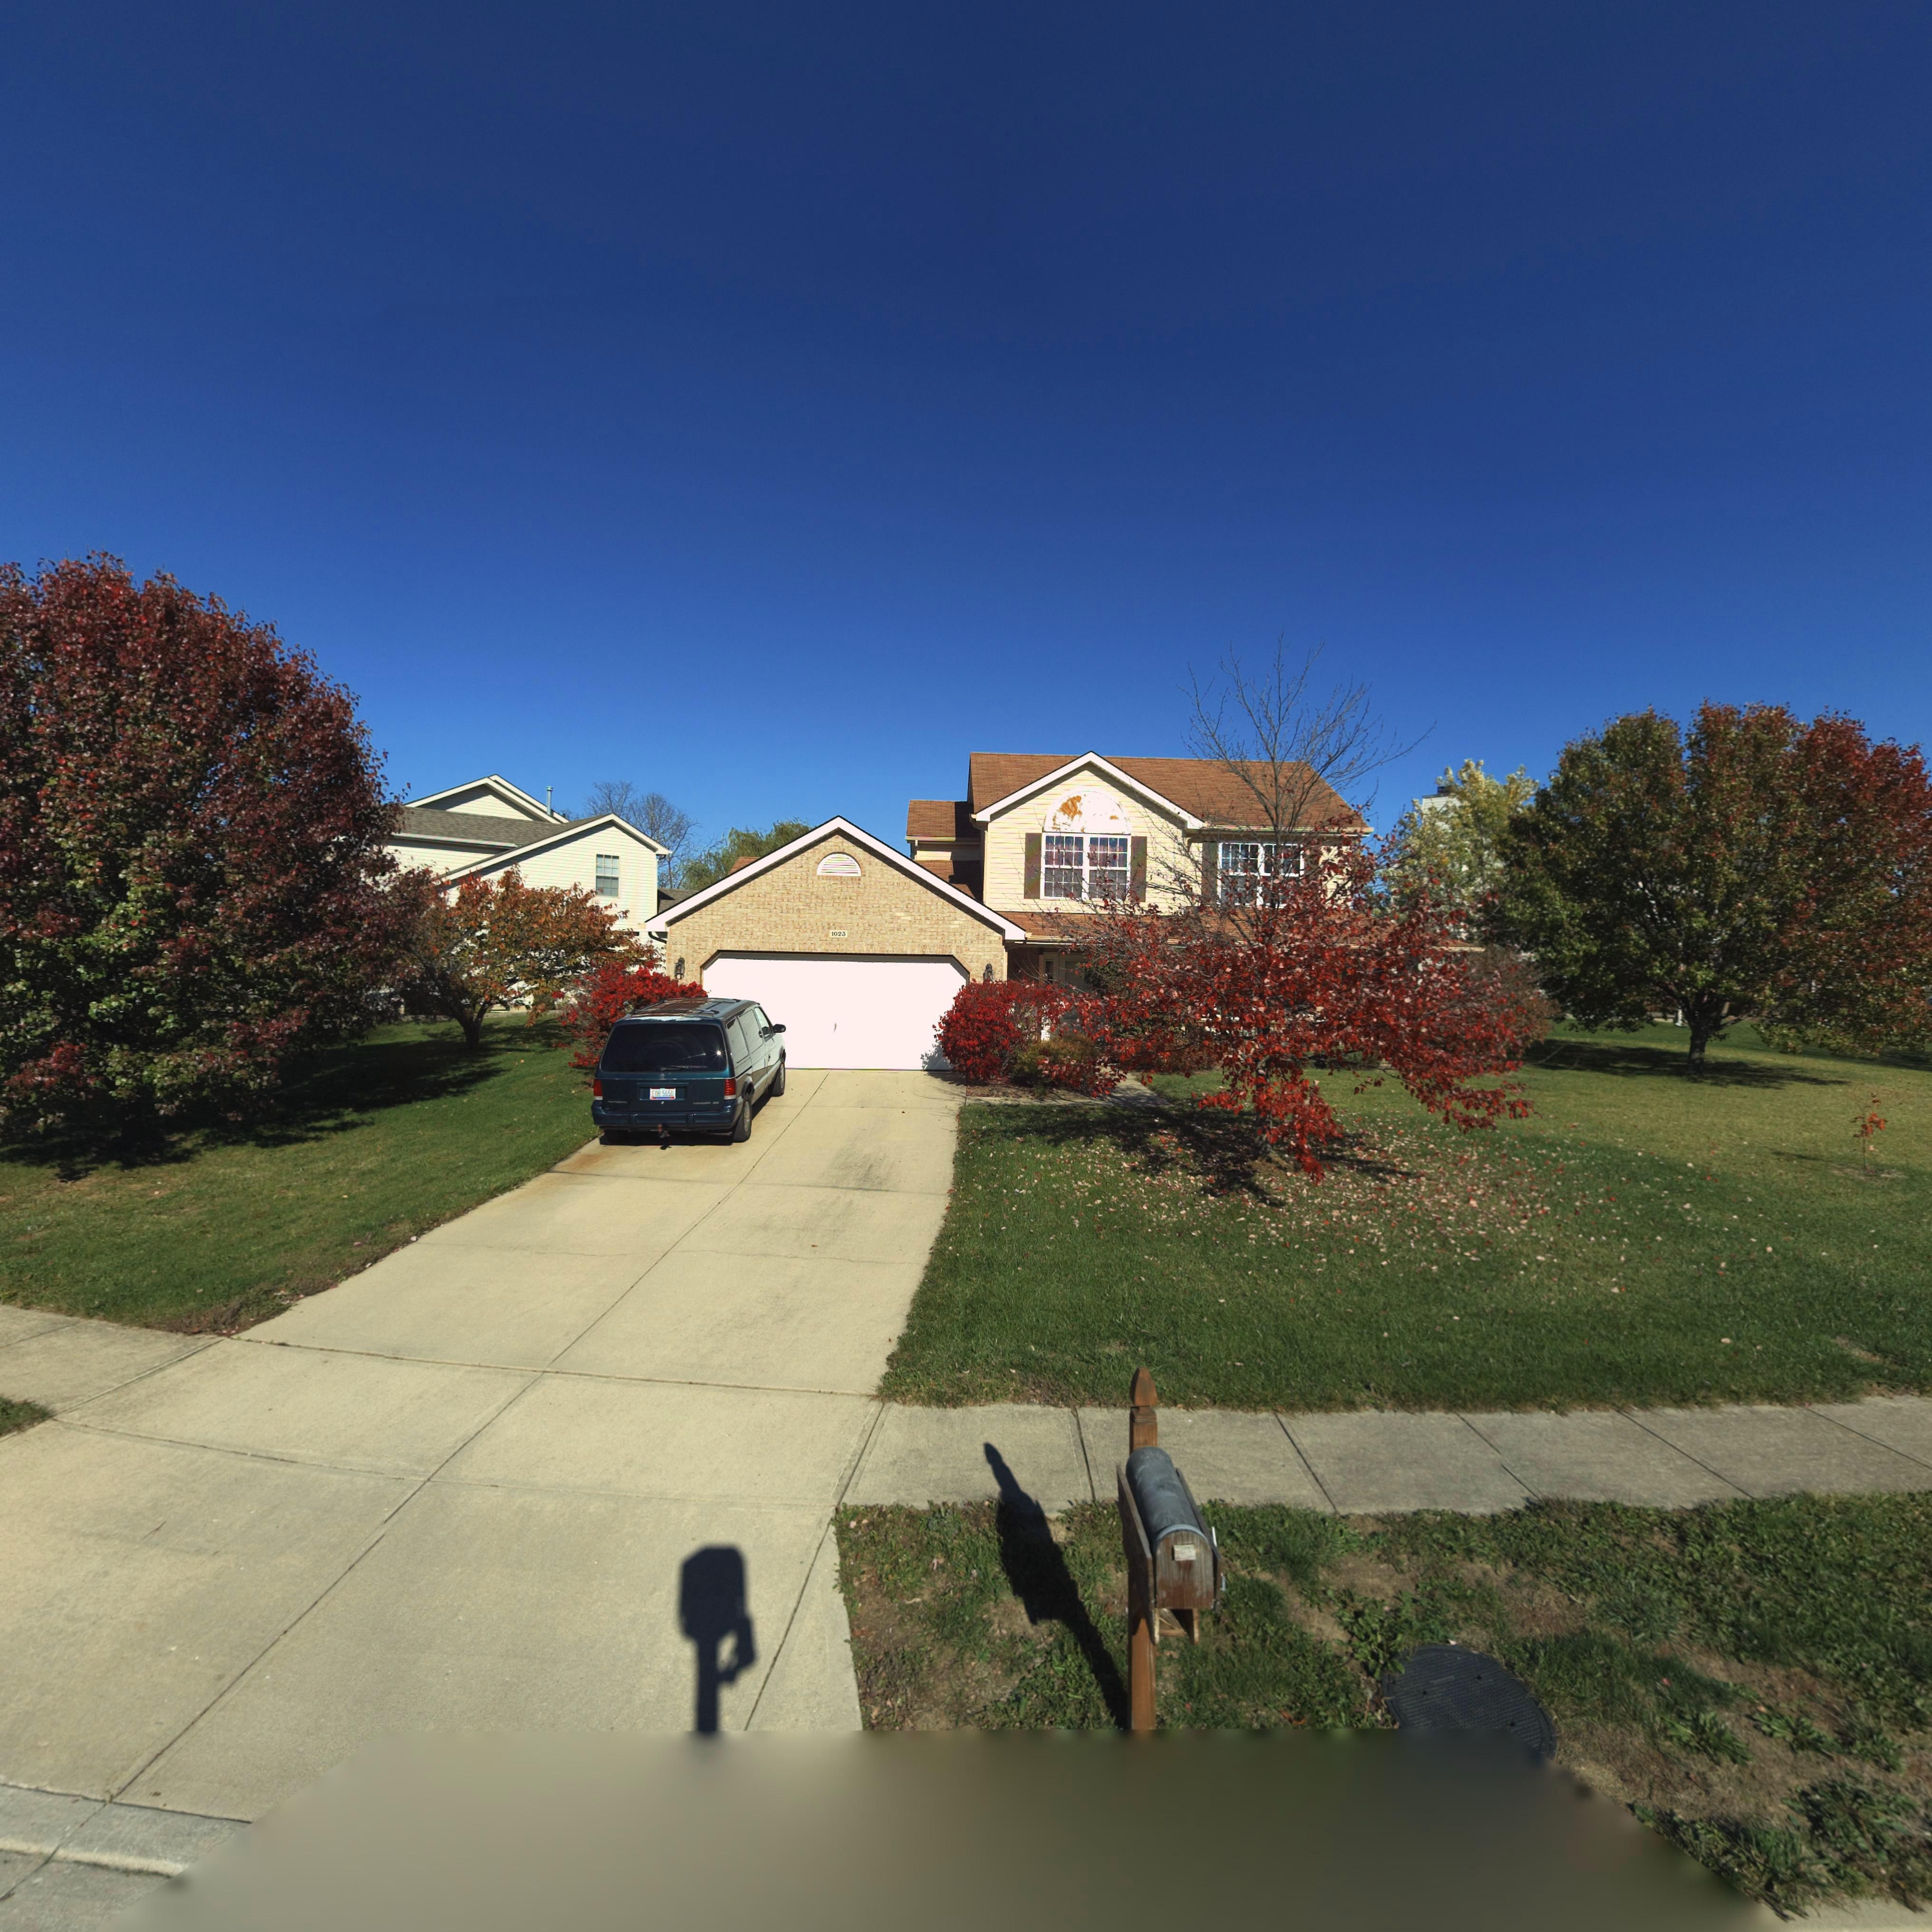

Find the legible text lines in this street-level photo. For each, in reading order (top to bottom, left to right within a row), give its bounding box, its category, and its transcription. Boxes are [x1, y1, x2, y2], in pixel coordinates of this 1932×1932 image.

[831, 930, 847, 937] StreetNumber: 1023